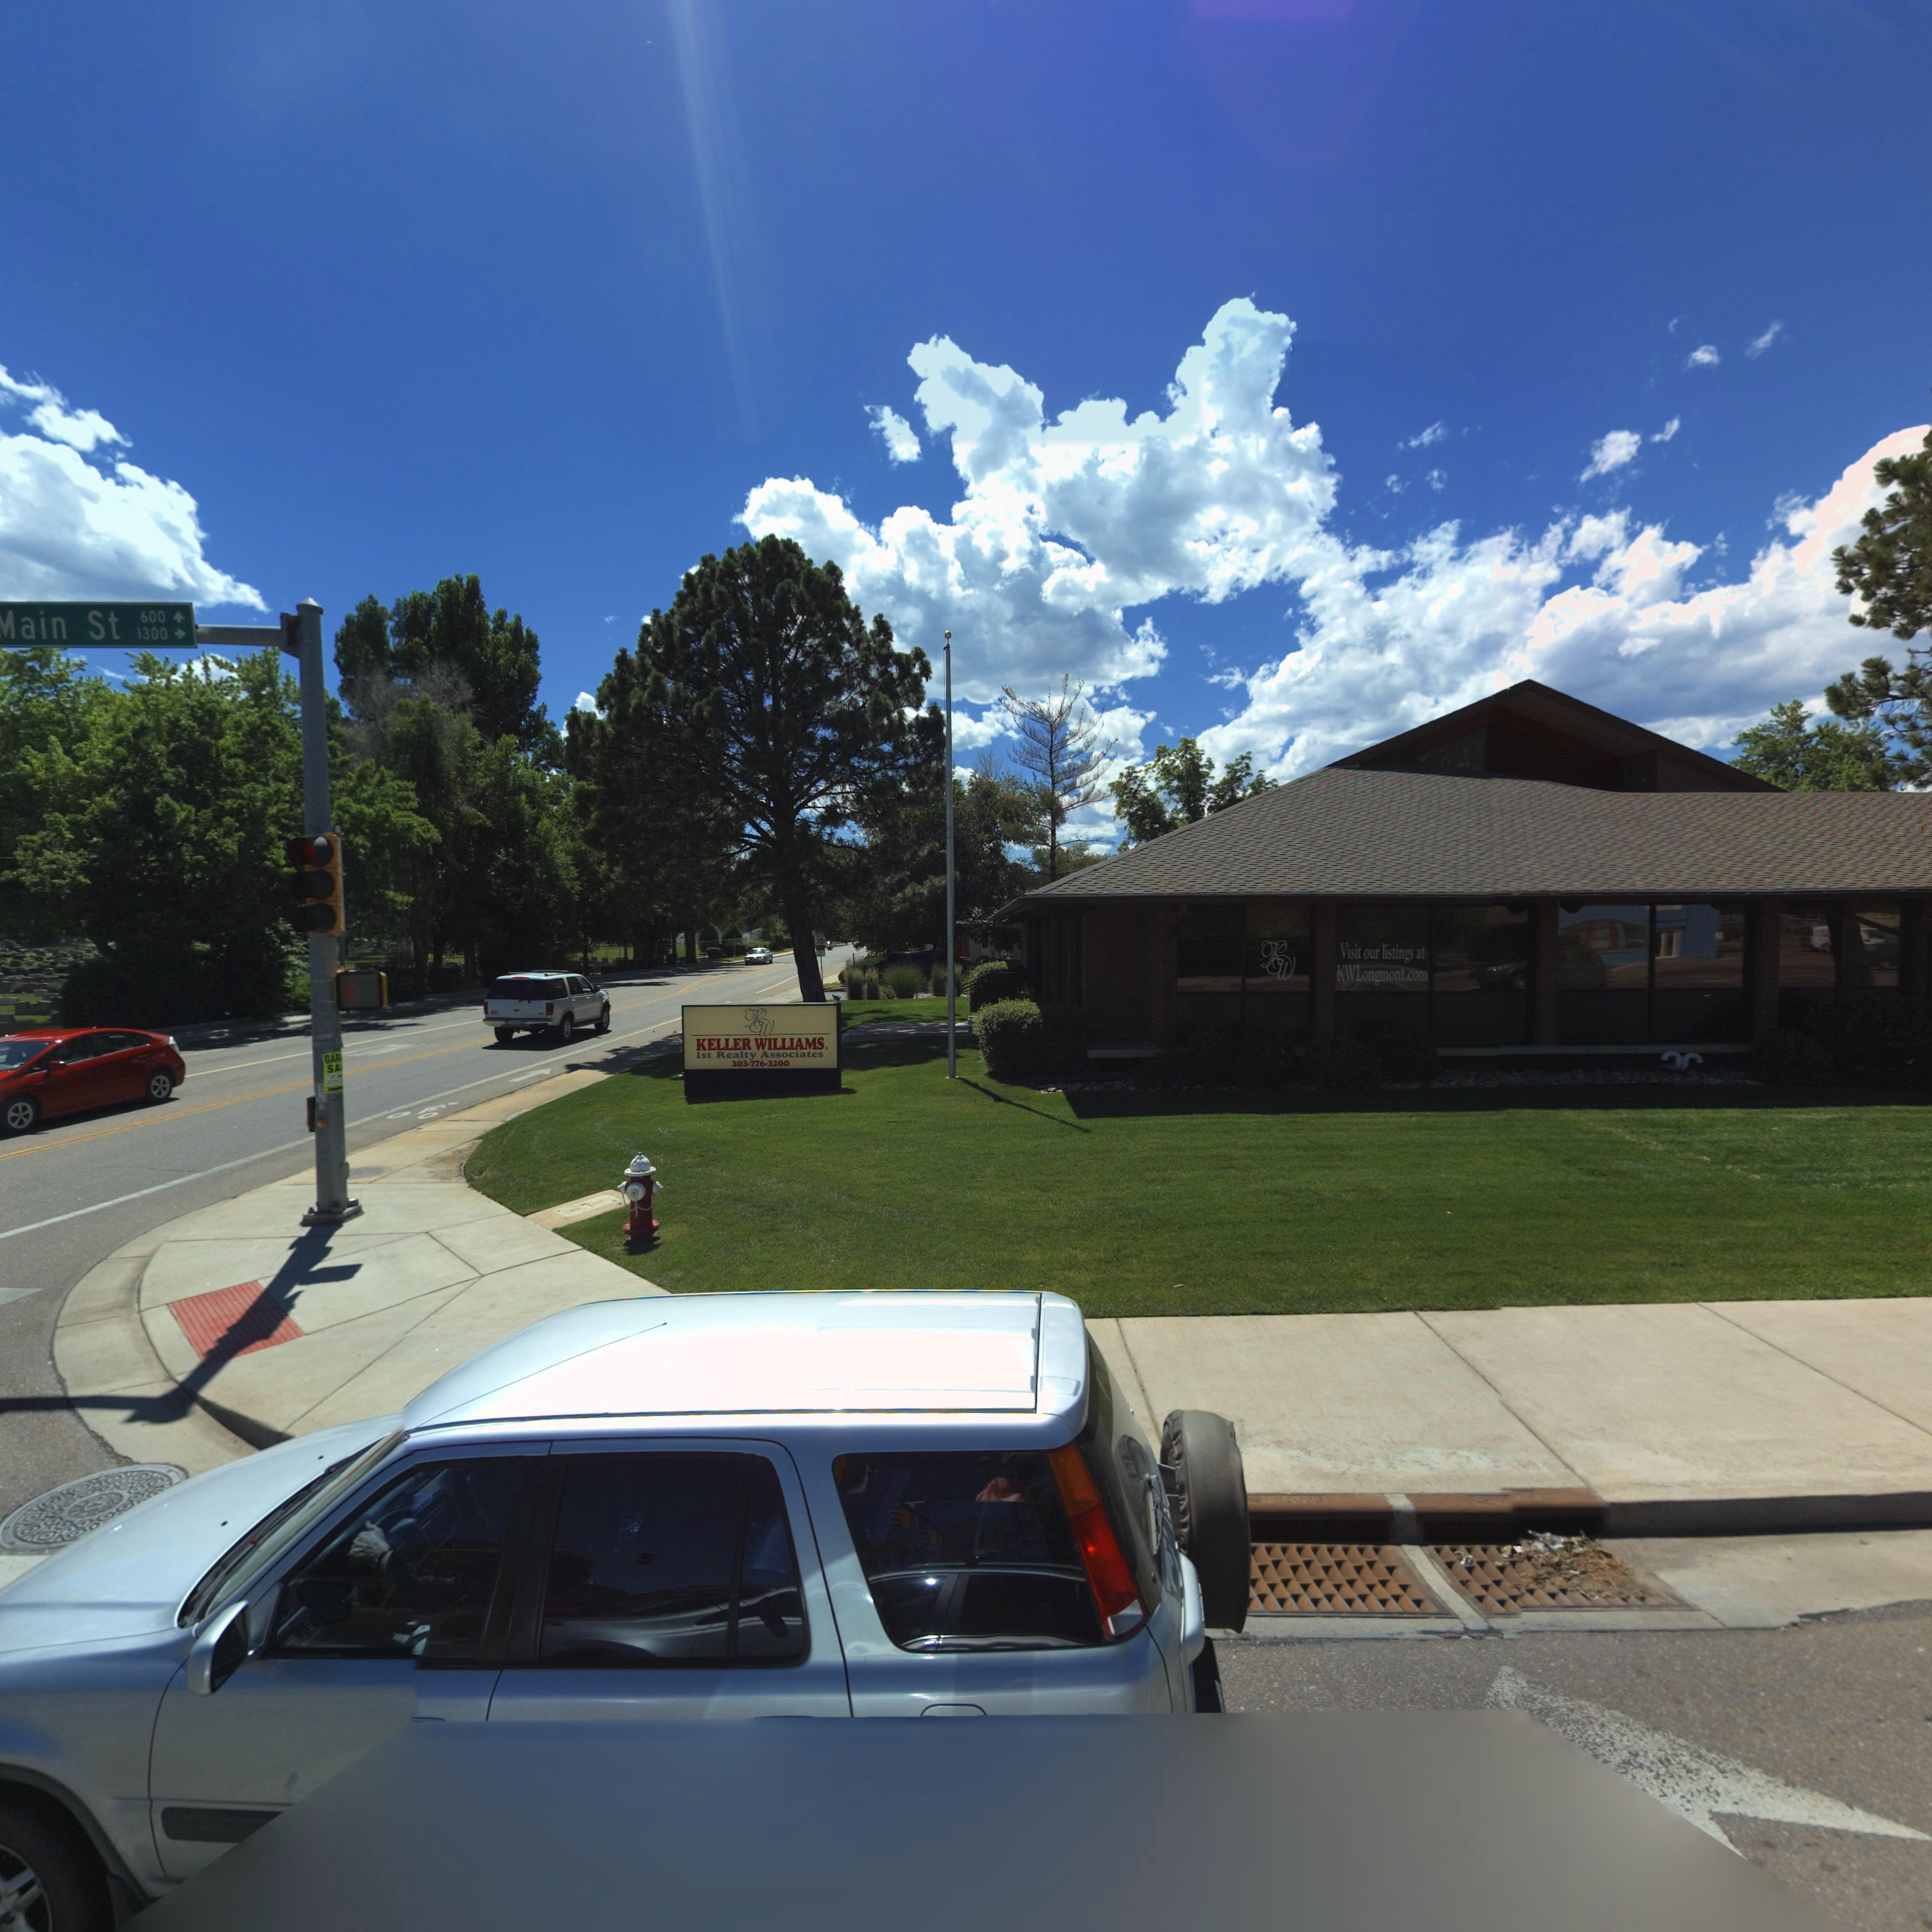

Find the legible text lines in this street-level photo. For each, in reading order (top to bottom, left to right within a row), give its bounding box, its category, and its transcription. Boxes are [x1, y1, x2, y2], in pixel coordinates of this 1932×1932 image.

[19, 608, 122, 640] StreetName: ain St
[140, 610, 166, 623] StreetNumberRange: 600
[136, 626, 188, 640] StreetNumberRange: 1300->
[1267, 942, 1286, 966] BusinessName: K
[1276, 956, 1296, 981] BusinessName: W
[749, 1009, 765, 1028] BusinessName: K
[758, 1019, 775, 1037] BusinessName: W
[696, 1036, 825, 1051] BusinessName: KELLER WILLIAMS
[696, 1050, 824, 1060] BusinessName: 1st Realty Associates